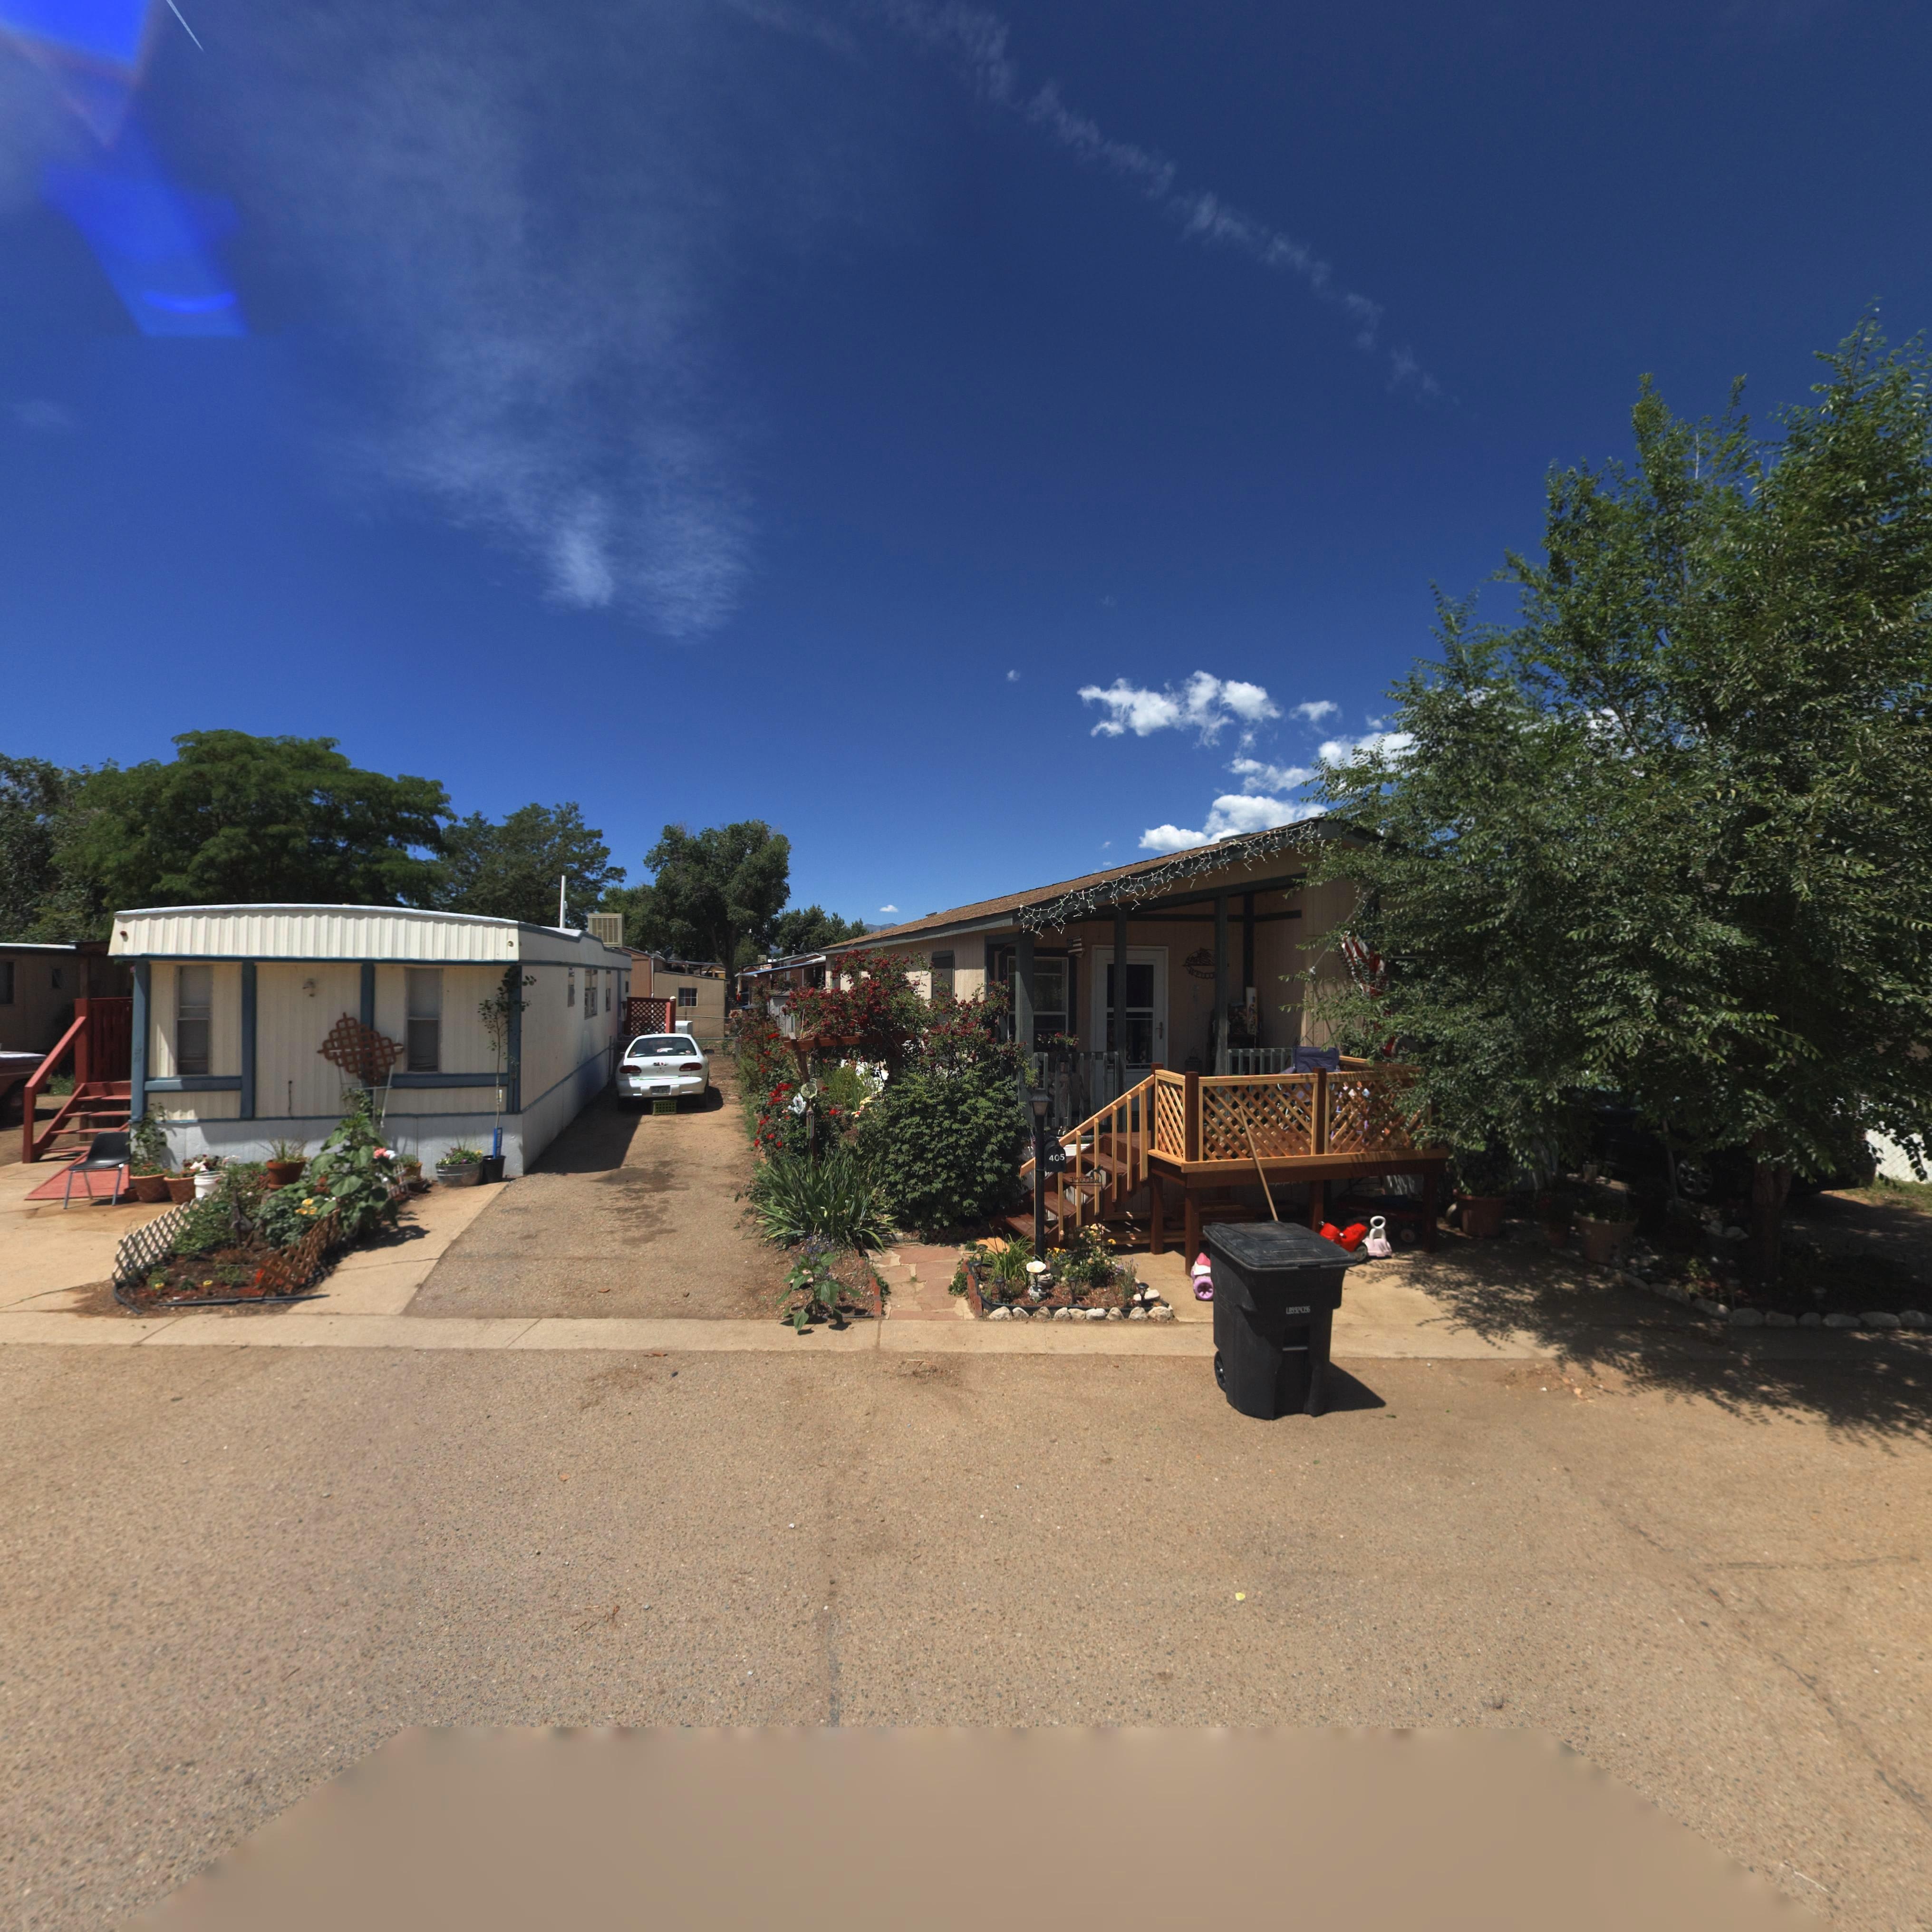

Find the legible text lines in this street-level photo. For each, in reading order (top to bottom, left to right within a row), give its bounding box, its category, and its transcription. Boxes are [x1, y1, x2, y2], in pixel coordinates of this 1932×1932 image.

[1048, 1153, 1065, 1162] StreetNumber: 405